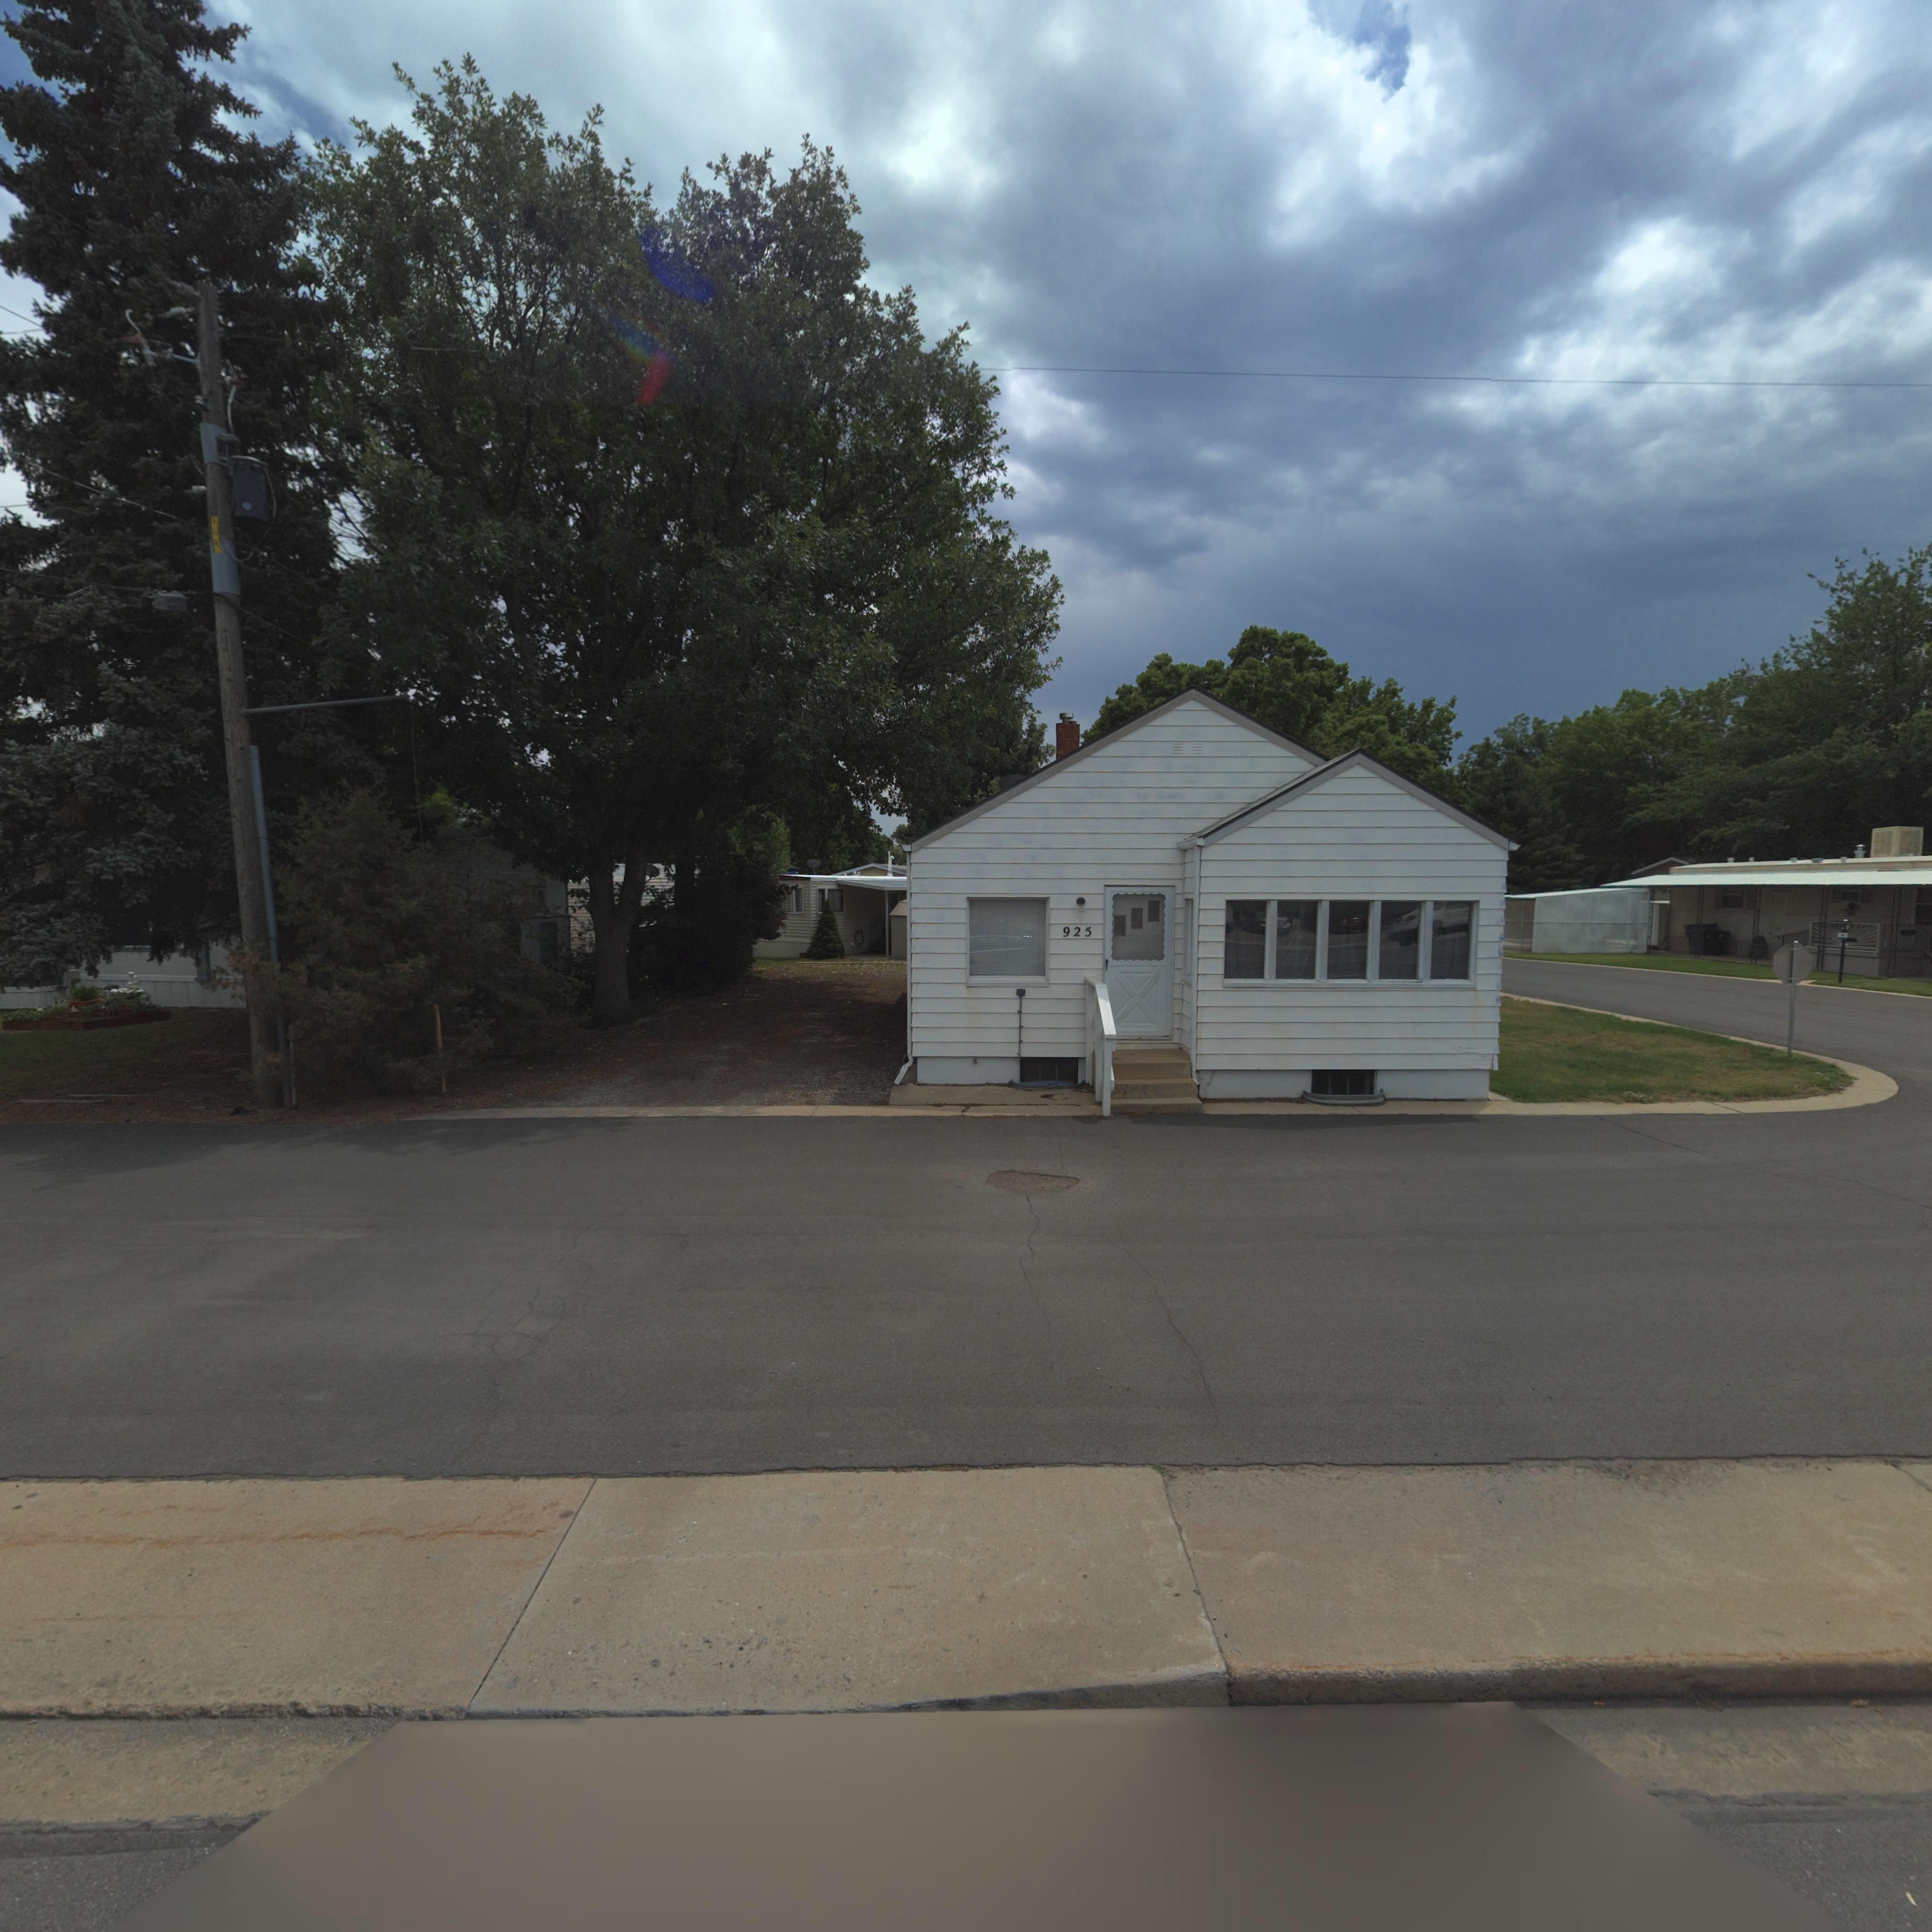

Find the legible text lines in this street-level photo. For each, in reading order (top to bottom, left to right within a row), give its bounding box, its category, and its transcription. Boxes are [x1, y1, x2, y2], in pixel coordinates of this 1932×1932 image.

[1062, 926, 1092, 937] StreetNumber: 925